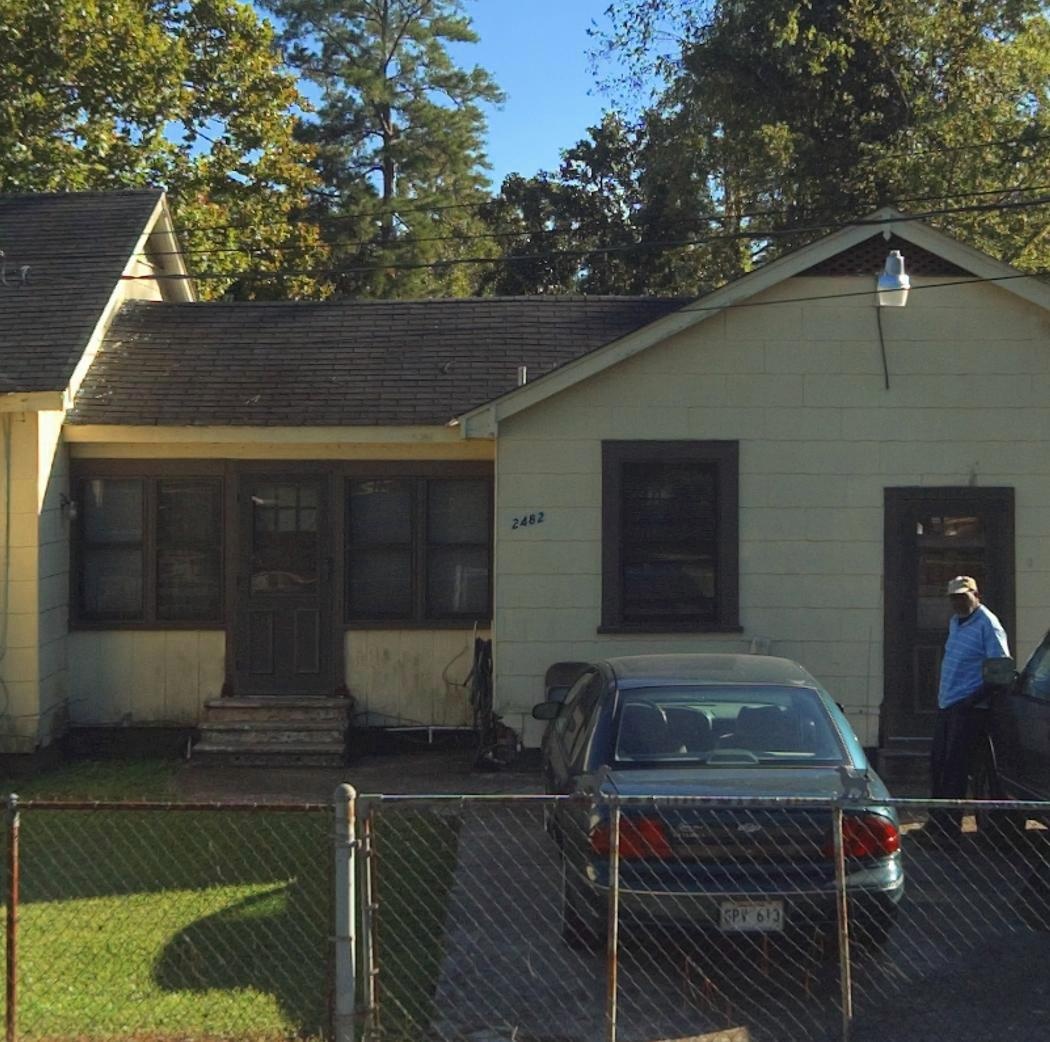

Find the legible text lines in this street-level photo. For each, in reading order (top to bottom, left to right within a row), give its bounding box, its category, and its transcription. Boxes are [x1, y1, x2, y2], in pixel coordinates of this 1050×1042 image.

[511, 509, 545, 531] StreetNumber: 2482
[723, 905, 782, 924] None: *P* 613